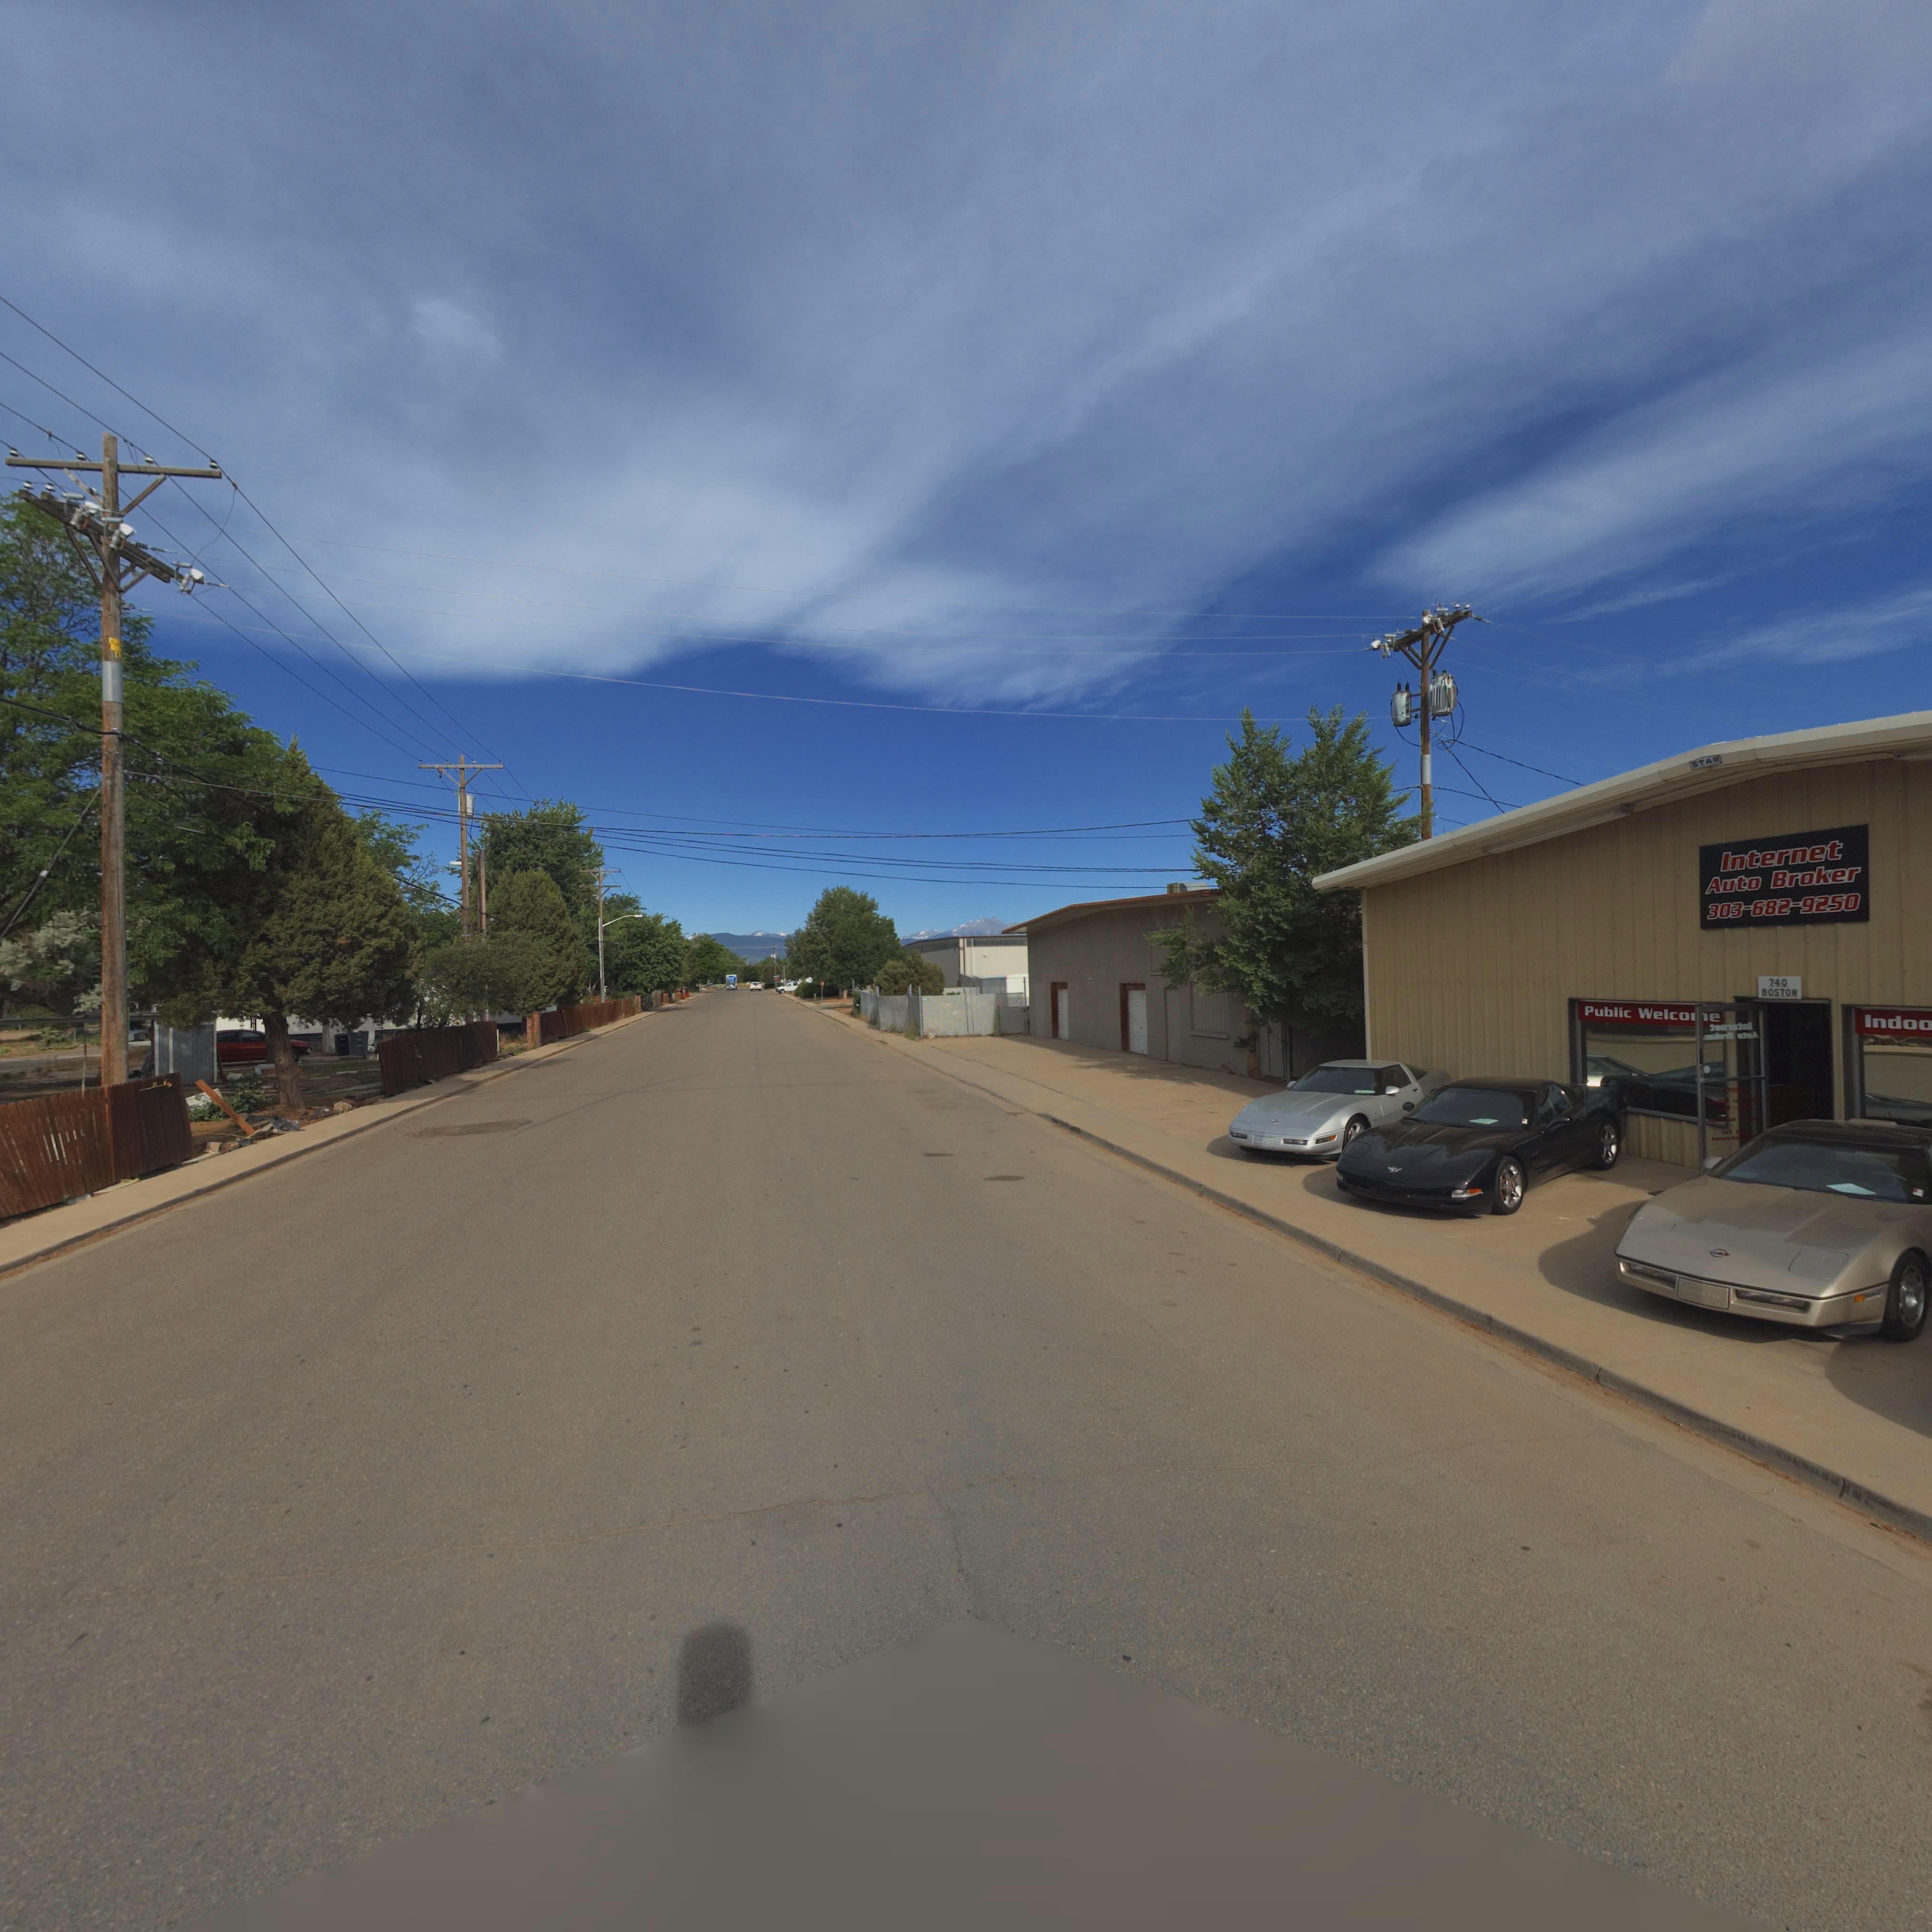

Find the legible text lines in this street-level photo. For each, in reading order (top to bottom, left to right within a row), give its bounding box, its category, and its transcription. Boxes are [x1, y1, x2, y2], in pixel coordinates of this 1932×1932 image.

[1719, 839, 1845, 872] BusinessName: Internet
[1704, 865, 1862, 894] BusinessName: Auto Broker
[1768, 978, 1787, 987] StreetNumber: 740
[1762, 987, 1797, 996] StreetName: BOSTON